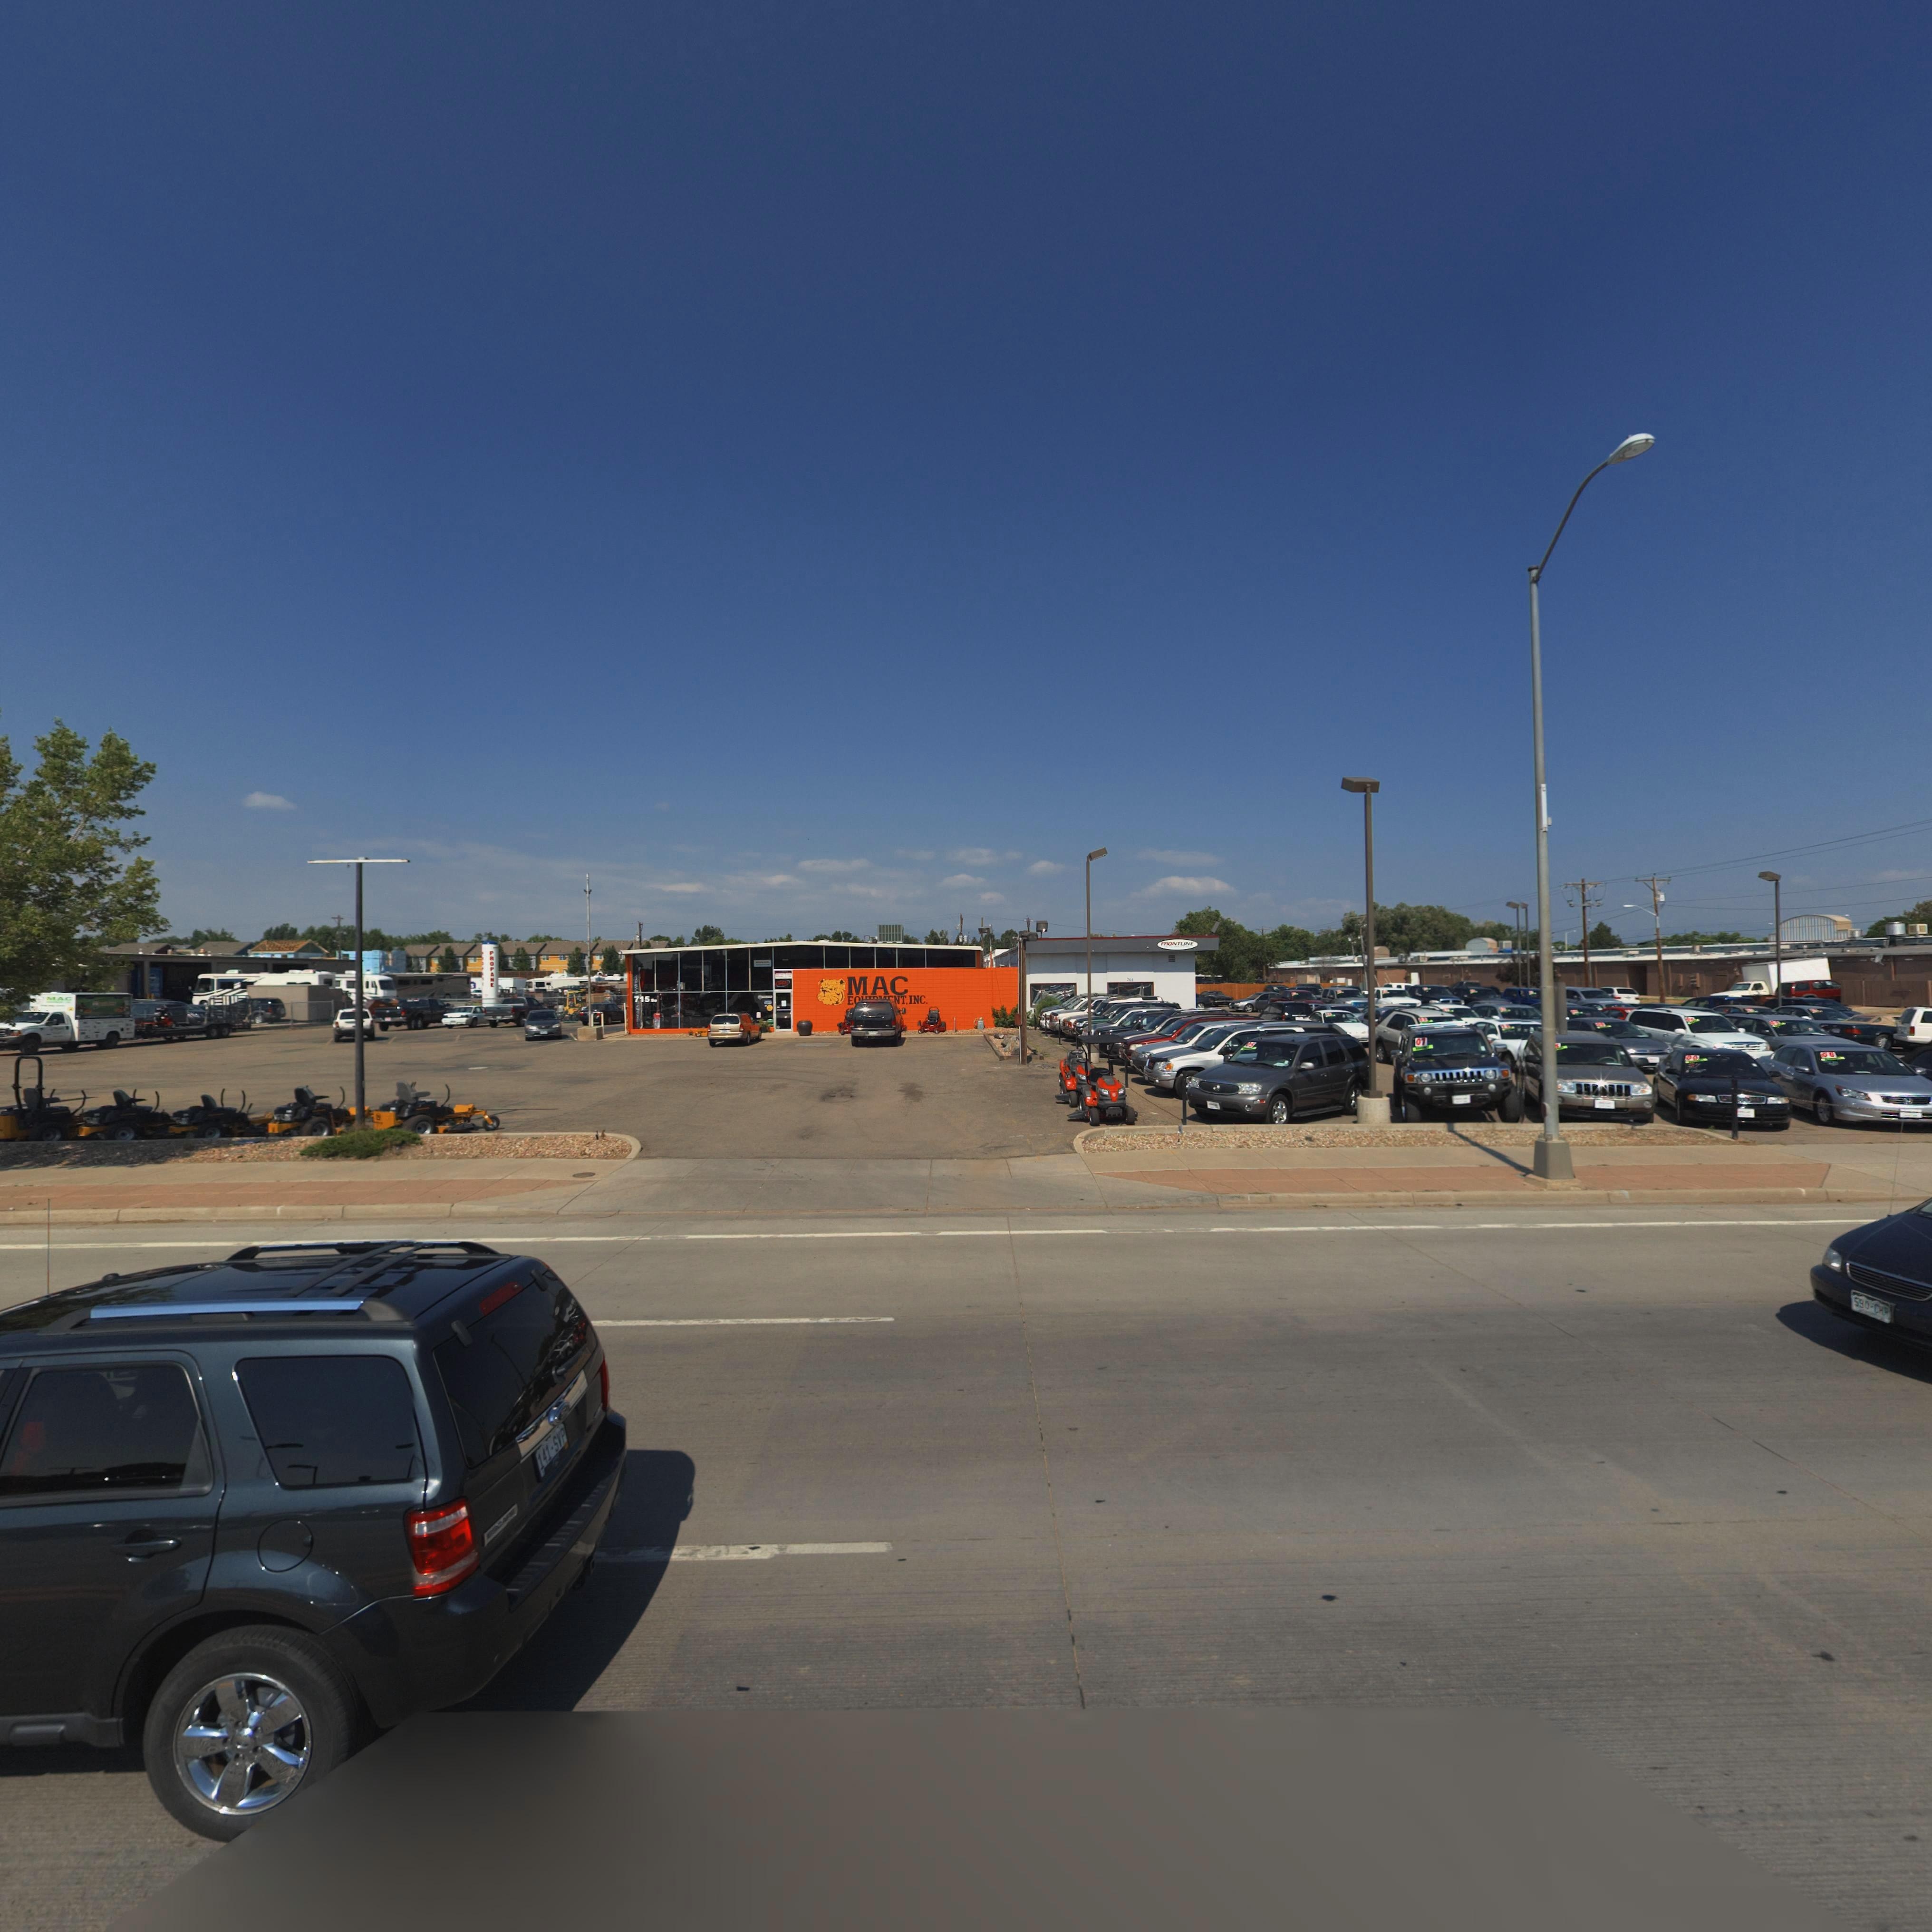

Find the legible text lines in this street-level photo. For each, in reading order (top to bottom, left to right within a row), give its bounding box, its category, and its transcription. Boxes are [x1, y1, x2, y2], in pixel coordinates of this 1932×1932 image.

[1160, 941, 1195, 946] BusinessName: FFRONTLINE
[1126, 977, 1133, 982] StreetNumber: *01
[847, 976, 908, 995] BusinessName: MAC
[633, 995, 650, 1002] StreetNumber: 715
[847, 995, 929, 1005] BusinessName: E******NT, INC.